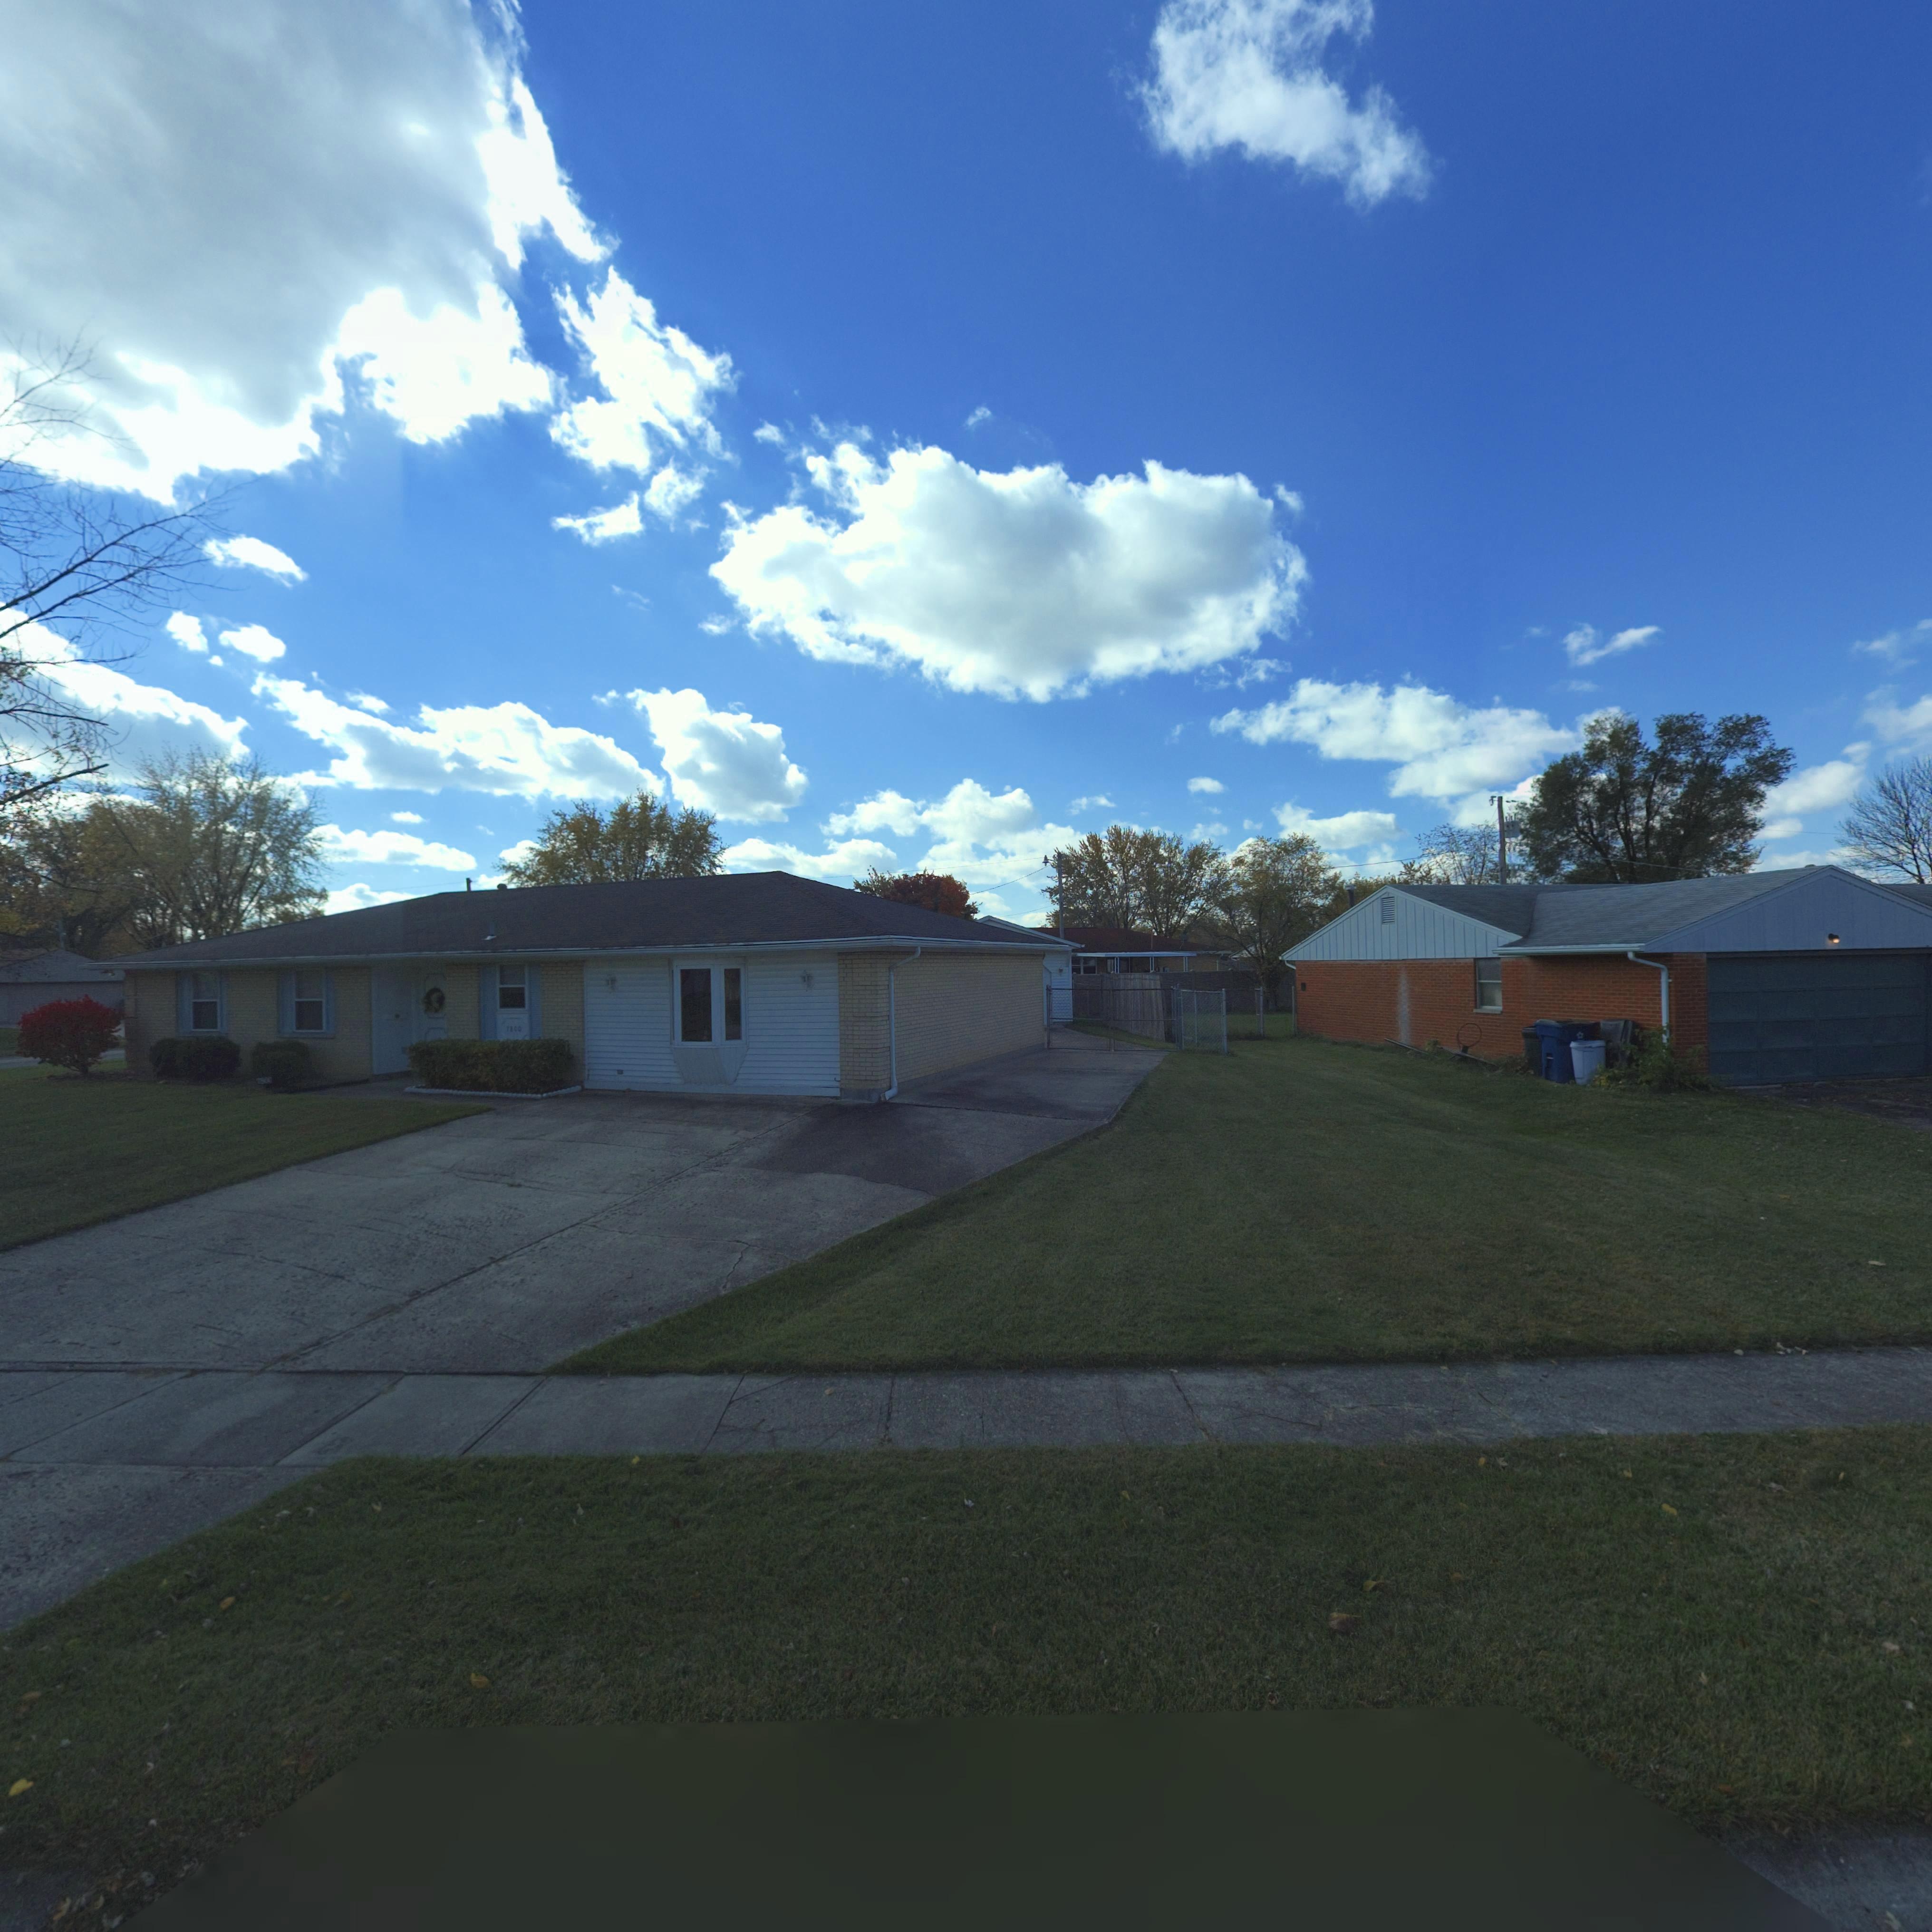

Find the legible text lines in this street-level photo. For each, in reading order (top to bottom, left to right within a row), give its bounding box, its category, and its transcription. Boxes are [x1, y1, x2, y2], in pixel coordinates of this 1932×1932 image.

[505, 1025, 522, 1033] StreetNumber: 7800
[255, 1075, 273, 1085] StreetNumber: 7800